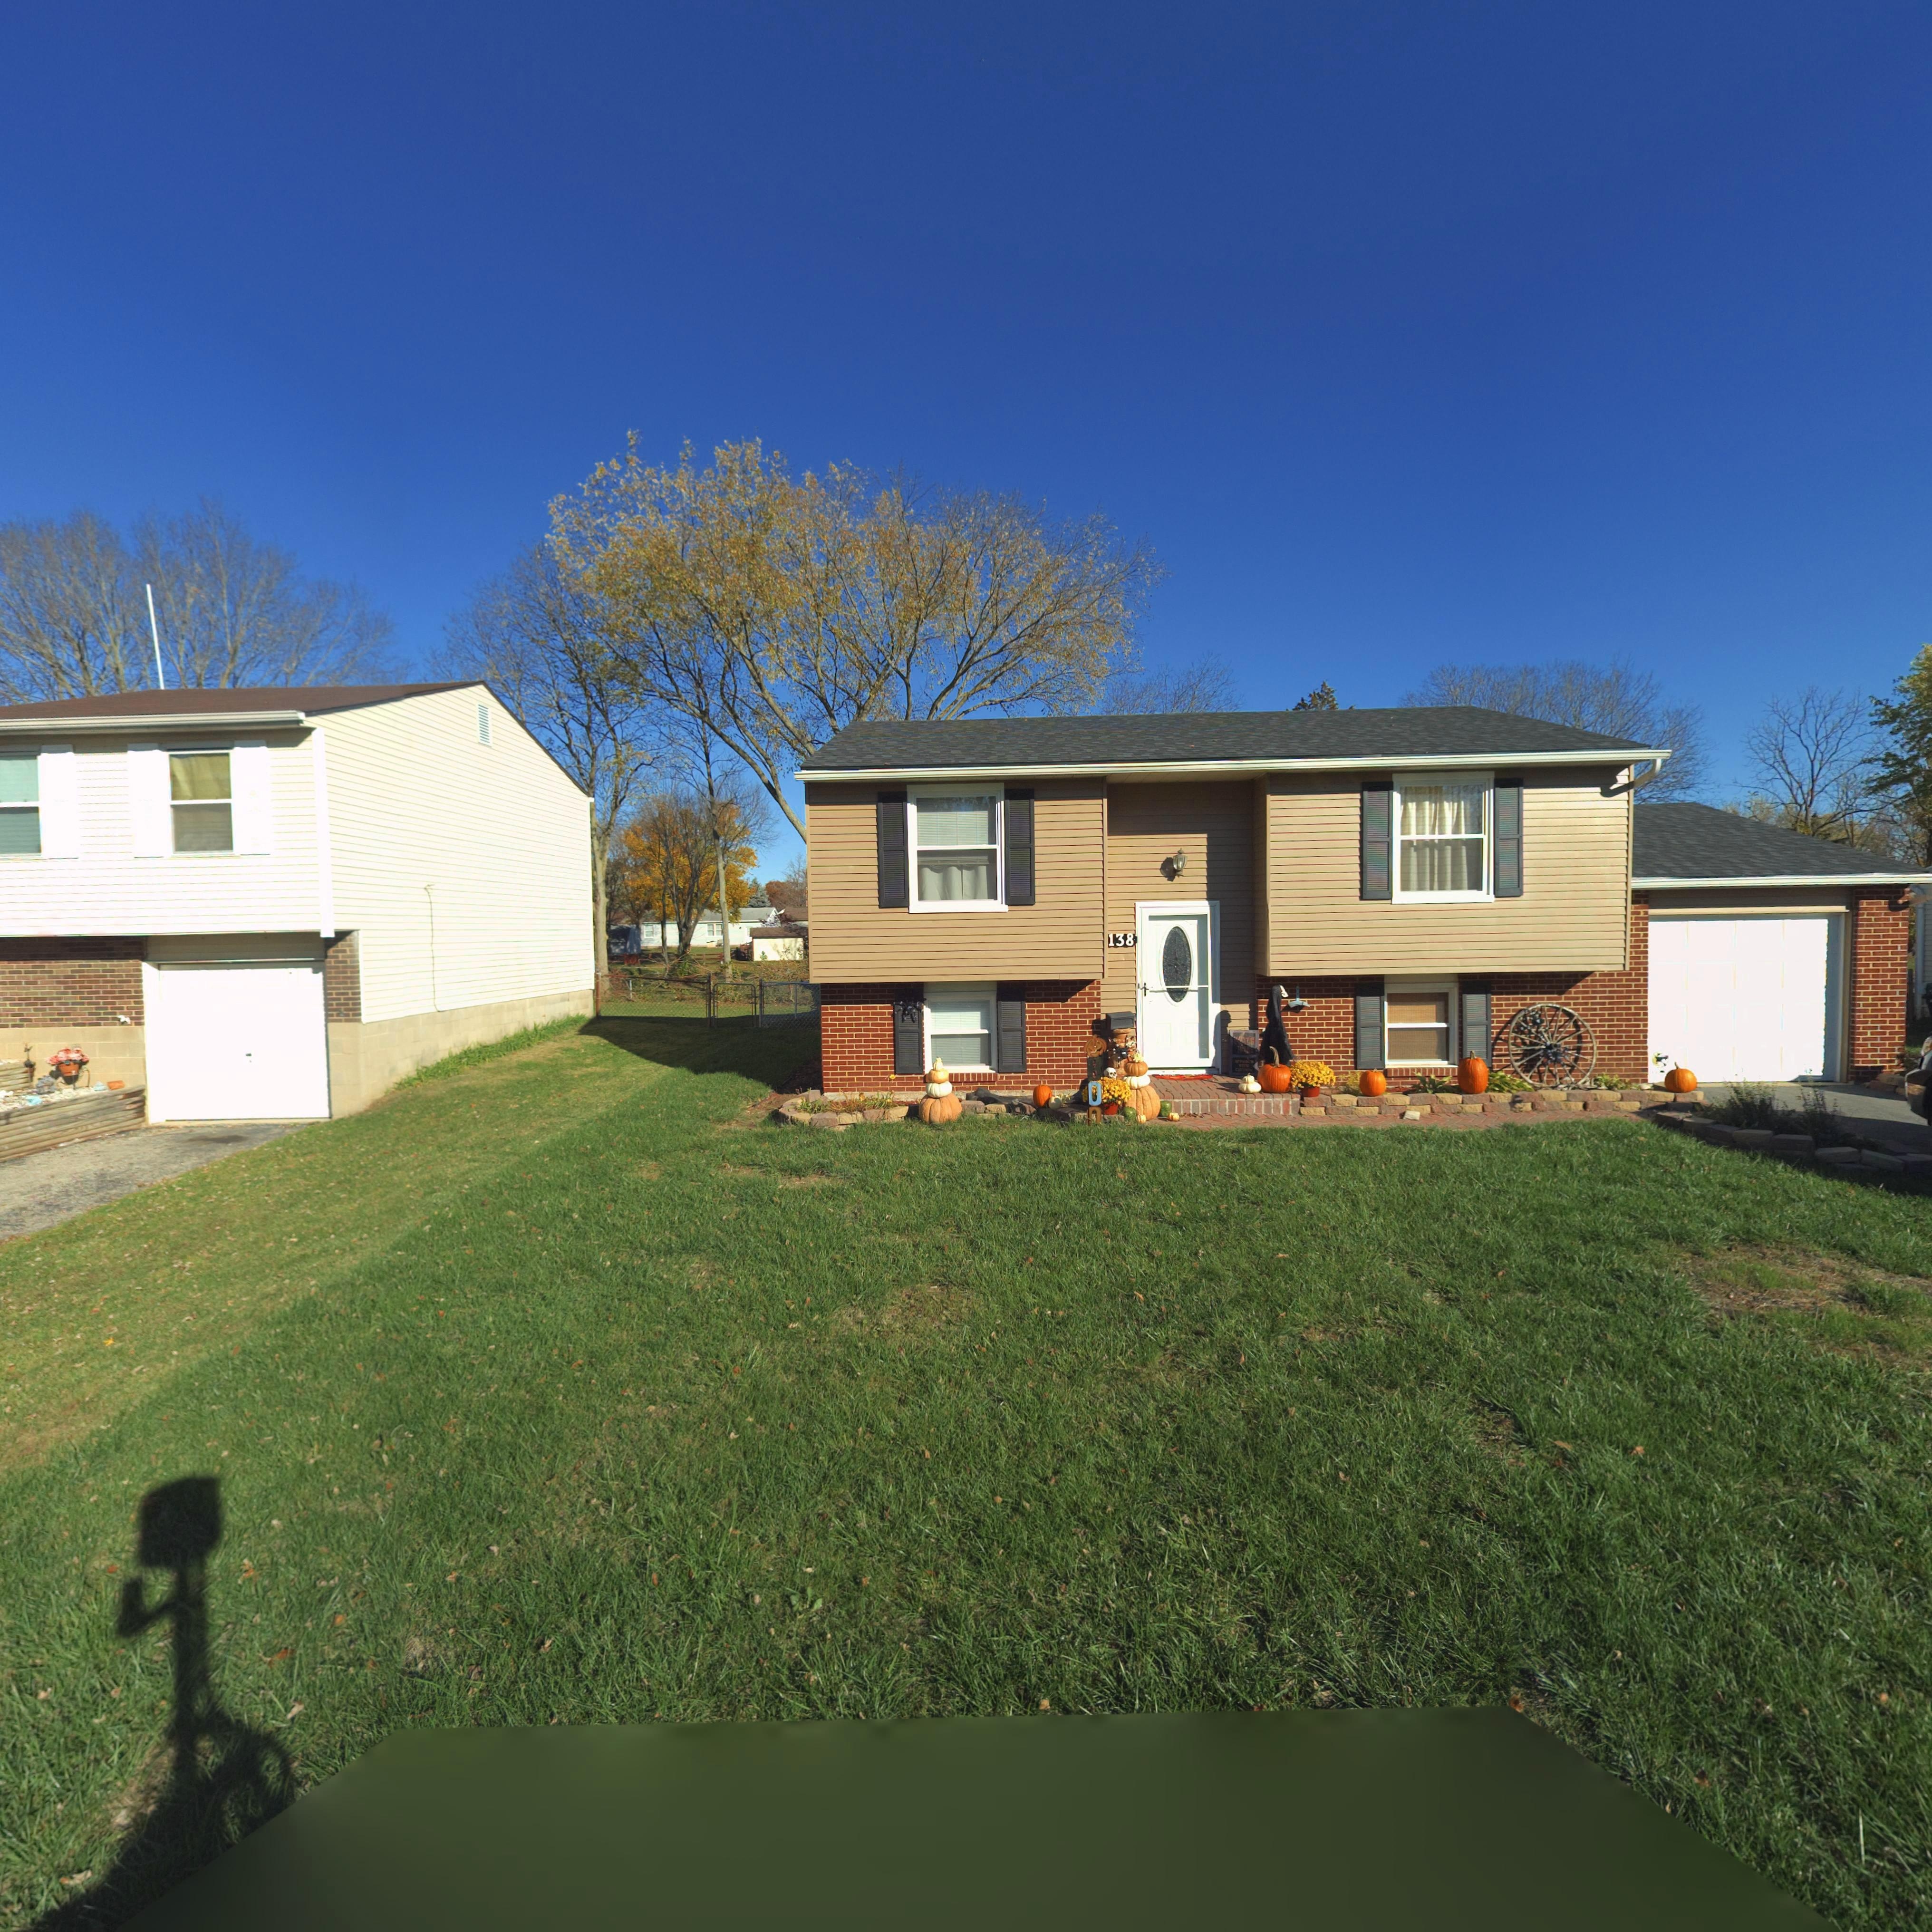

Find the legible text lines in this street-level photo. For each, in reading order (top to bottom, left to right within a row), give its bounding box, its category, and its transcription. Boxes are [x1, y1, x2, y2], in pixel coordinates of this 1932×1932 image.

[1108, 933, 1134, 947] StreetNumber: 138